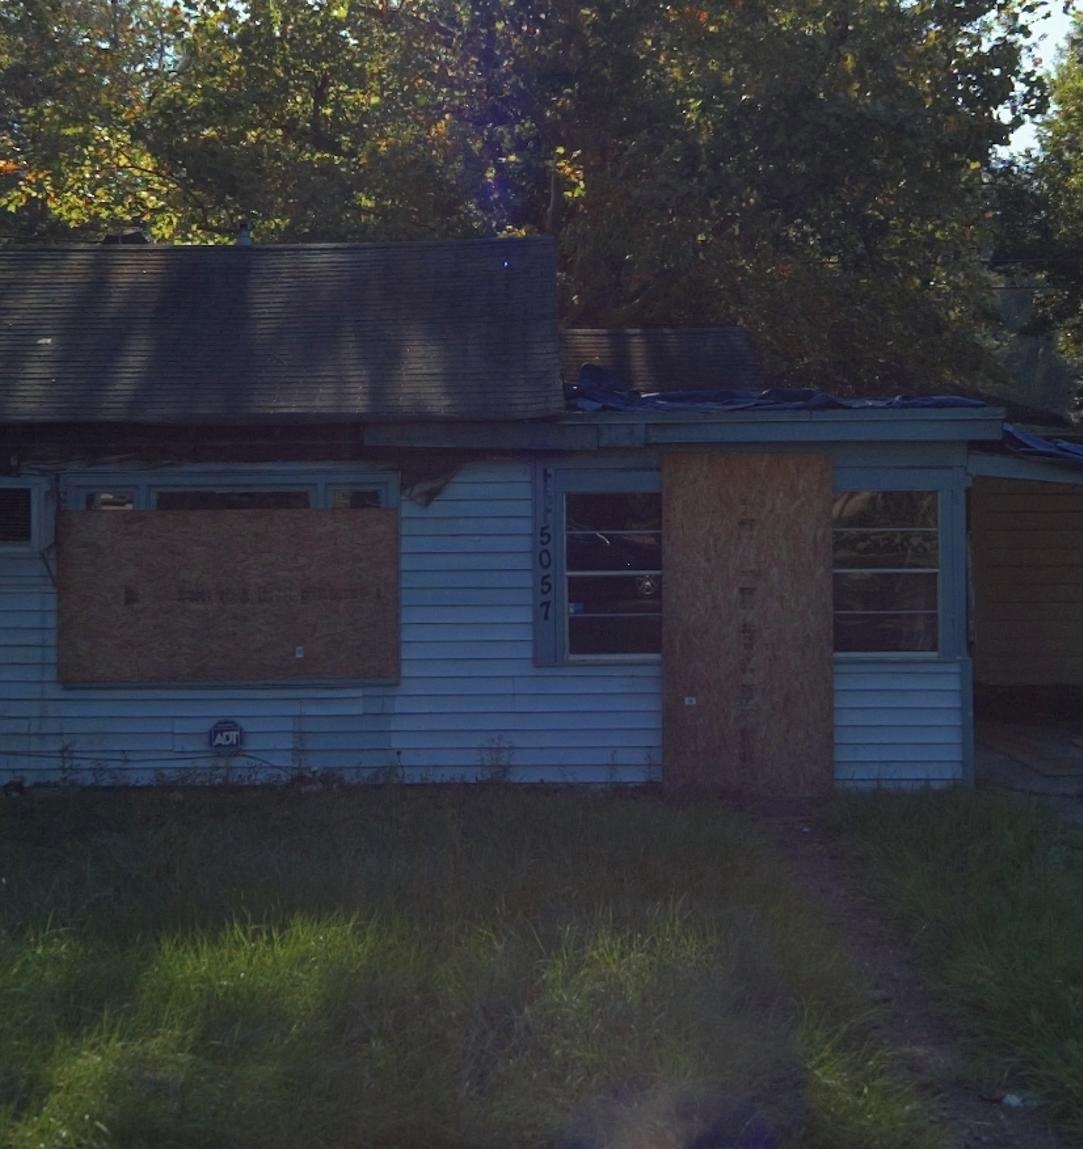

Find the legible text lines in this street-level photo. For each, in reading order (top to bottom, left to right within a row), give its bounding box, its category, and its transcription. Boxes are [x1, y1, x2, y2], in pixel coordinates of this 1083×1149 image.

[538, 525, 552, 621] StreetNumber: 5057
[211, 730, 240, 747] None: ADT